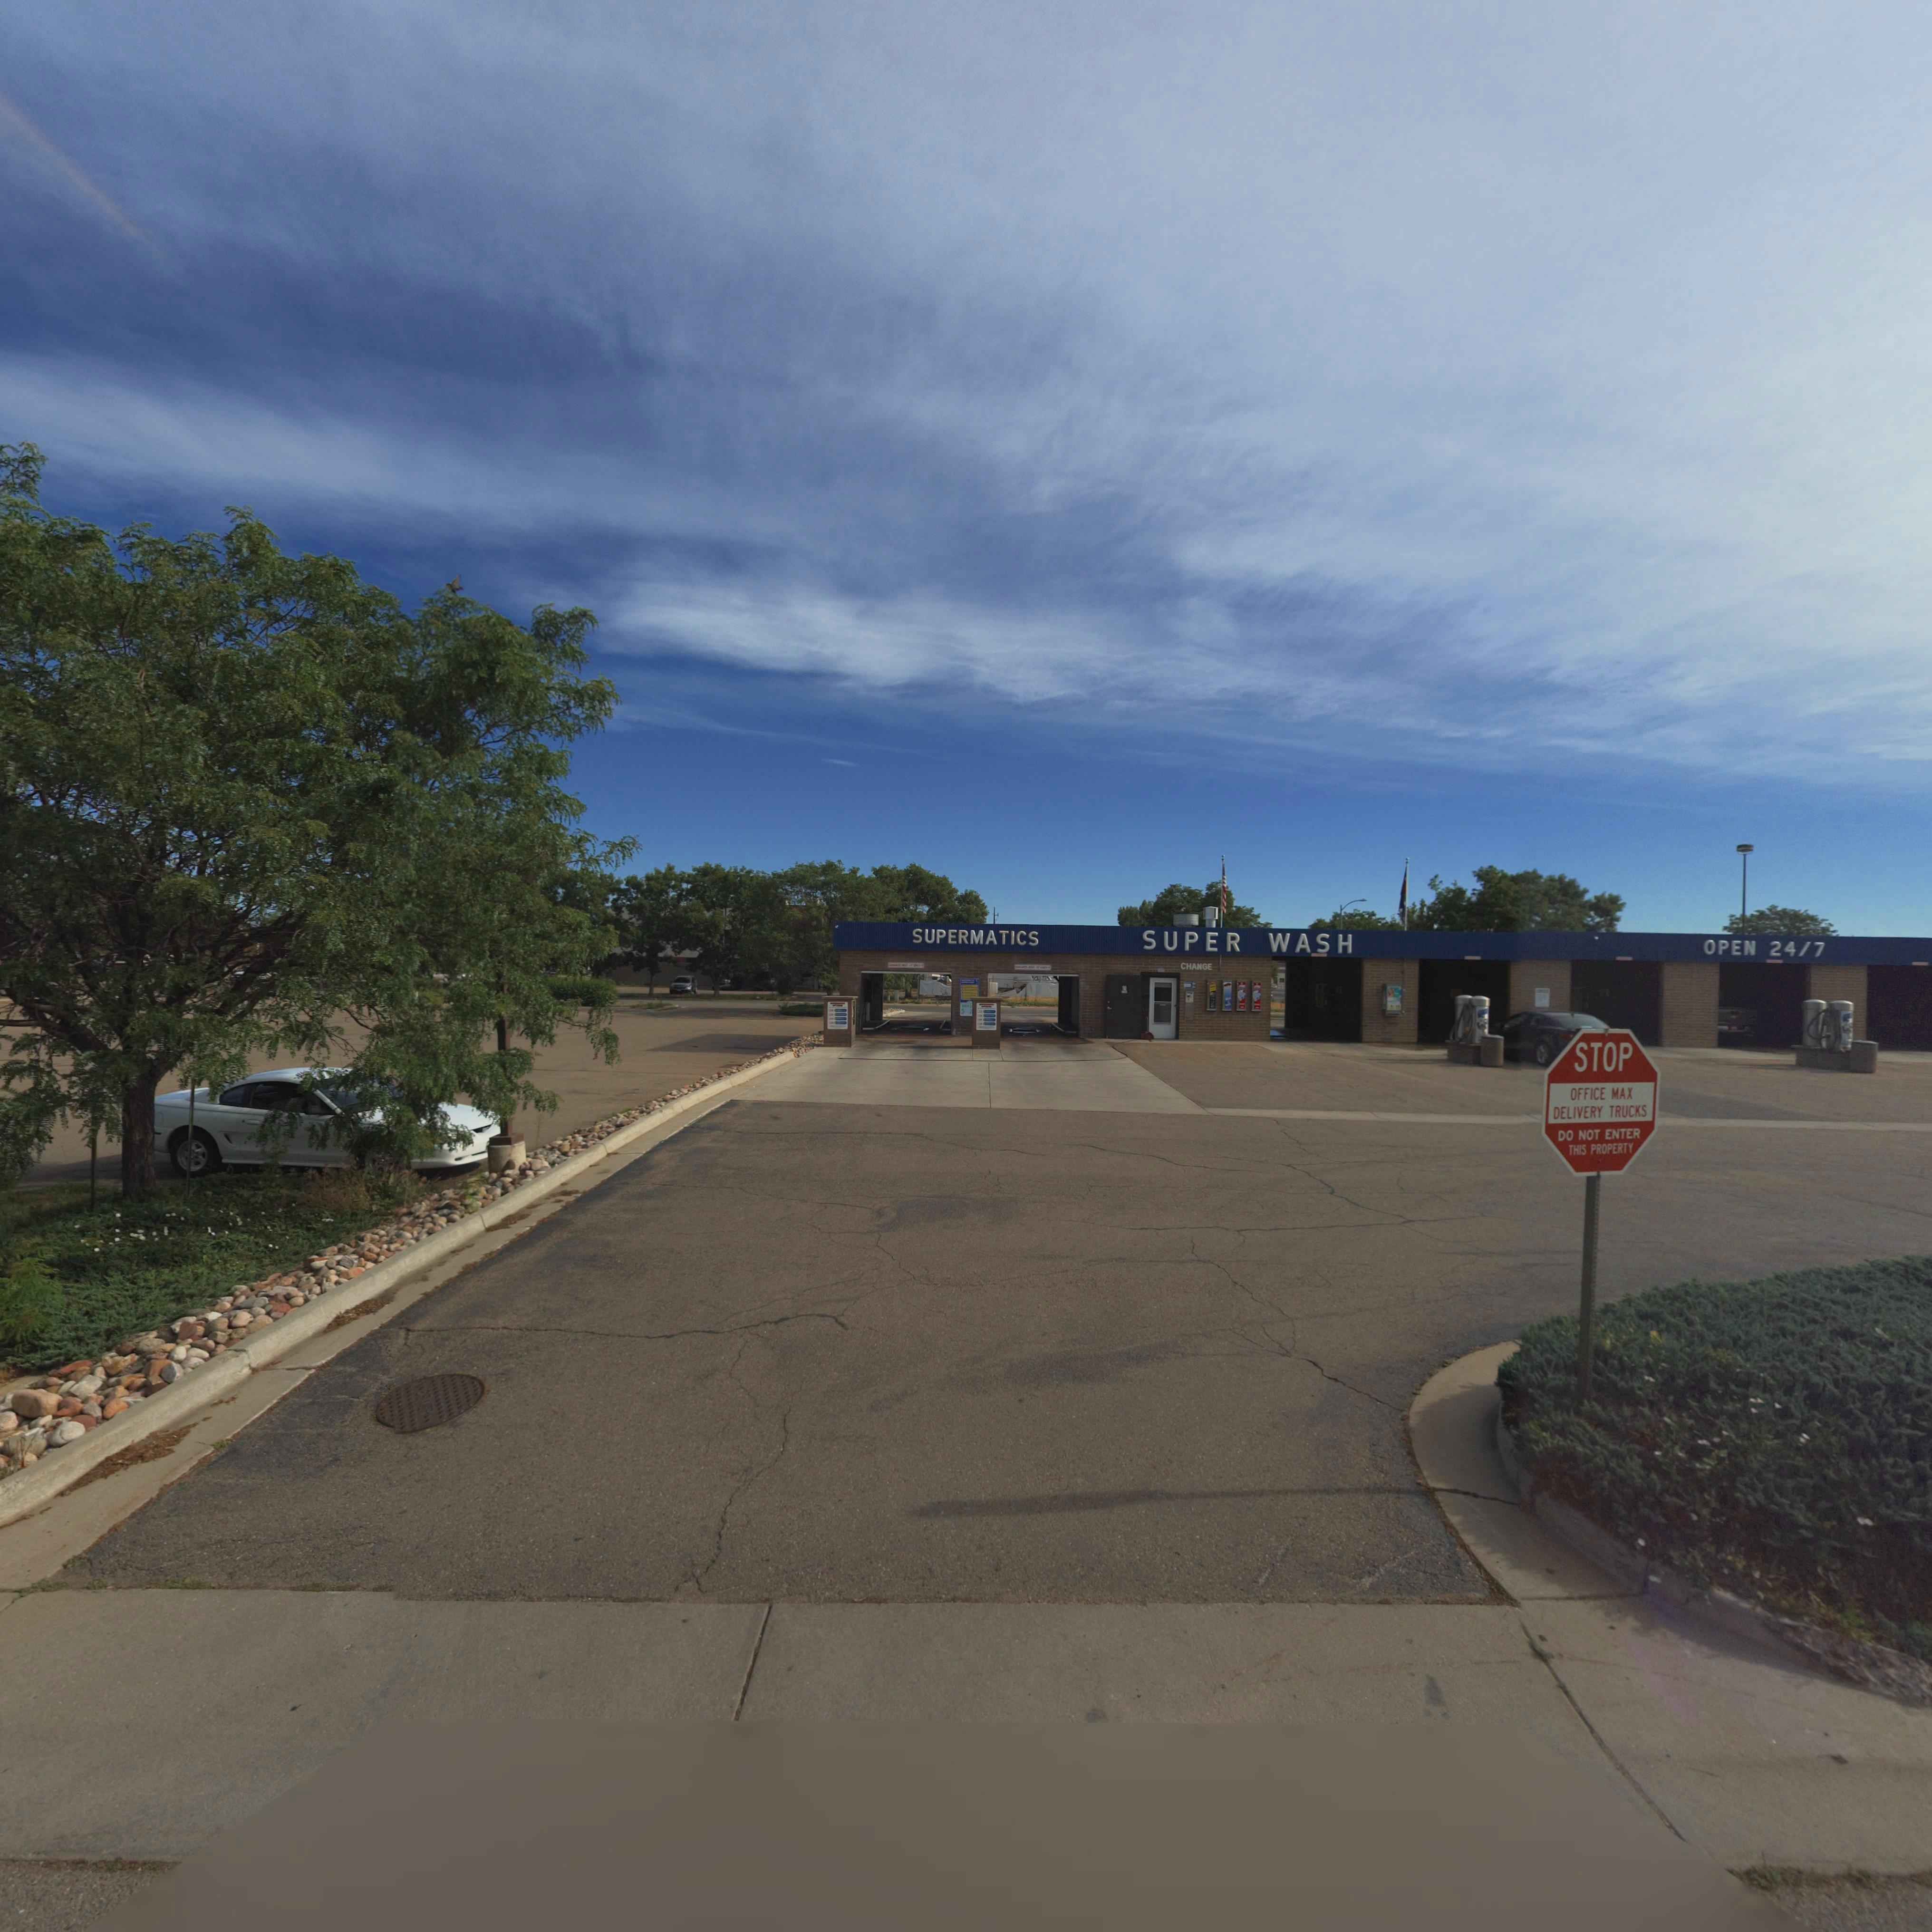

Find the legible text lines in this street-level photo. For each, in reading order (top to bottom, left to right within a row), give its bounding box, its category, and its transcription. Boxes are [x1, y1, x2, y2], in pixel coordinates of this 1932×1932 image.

[1142, 930, 1352, 953] BusinessName: SUPER WASH
[1570, 1086, 1633, 1101] BusinessName: OFFICE MAX